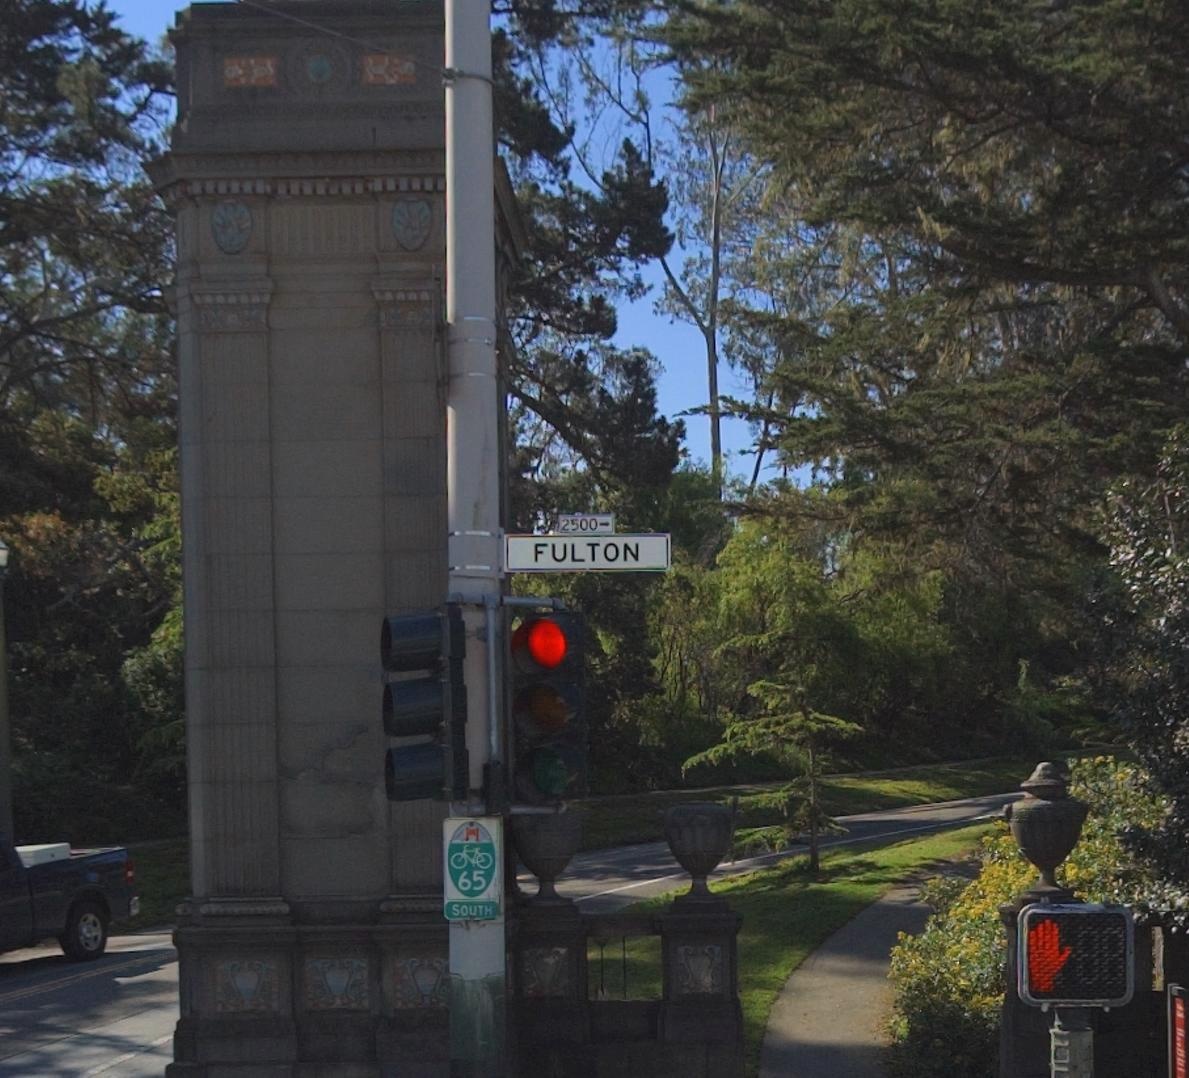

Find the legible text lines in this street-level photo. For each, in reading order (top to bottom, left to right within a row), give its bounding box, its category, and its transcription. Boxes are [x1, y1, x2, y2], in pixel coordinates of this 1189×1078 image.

[560, 516, 610, 532] StreetNumberRange: 2500->
[532, 540, 640, 564] StreetName: FULTON
[459, 869, 485, 891] None: 65
[449, 902, 493, 917] None: SOUTH
[1074, 922, 1126, 987] None: 88